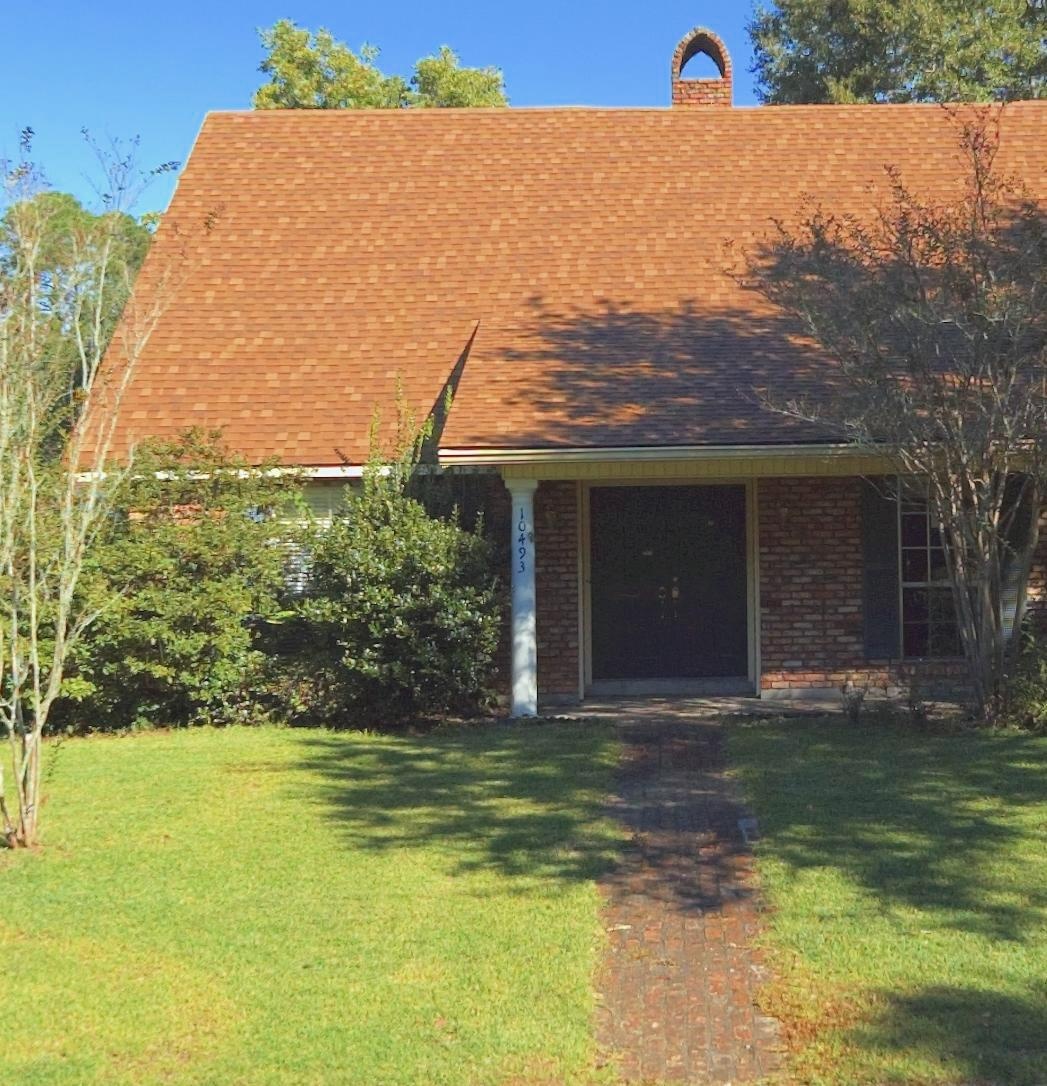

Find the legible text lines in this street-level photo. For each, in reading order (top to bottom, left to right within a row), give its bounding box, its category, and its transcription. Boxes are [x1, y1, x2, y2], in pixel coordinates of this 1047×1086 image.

[516, 505, 528, 576] StreetNumber: 10493